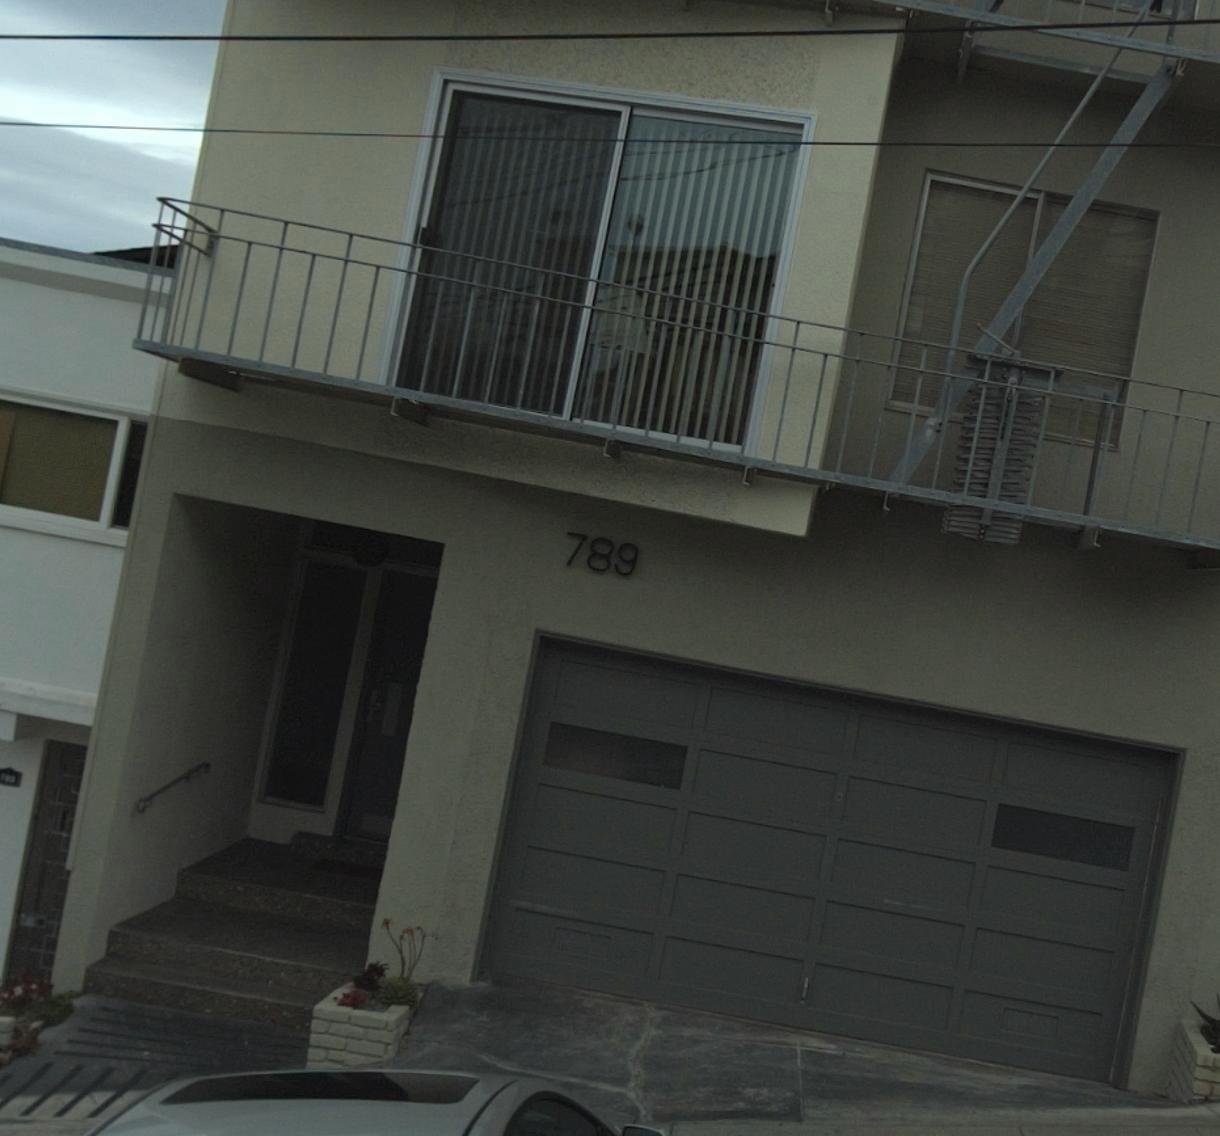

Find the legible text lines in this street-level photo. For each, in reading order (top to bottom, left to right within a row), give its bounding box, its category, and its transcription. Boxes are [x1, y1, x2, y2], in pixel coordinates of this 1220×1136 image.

[562, 530, 643, 579] StreetNumber: 789